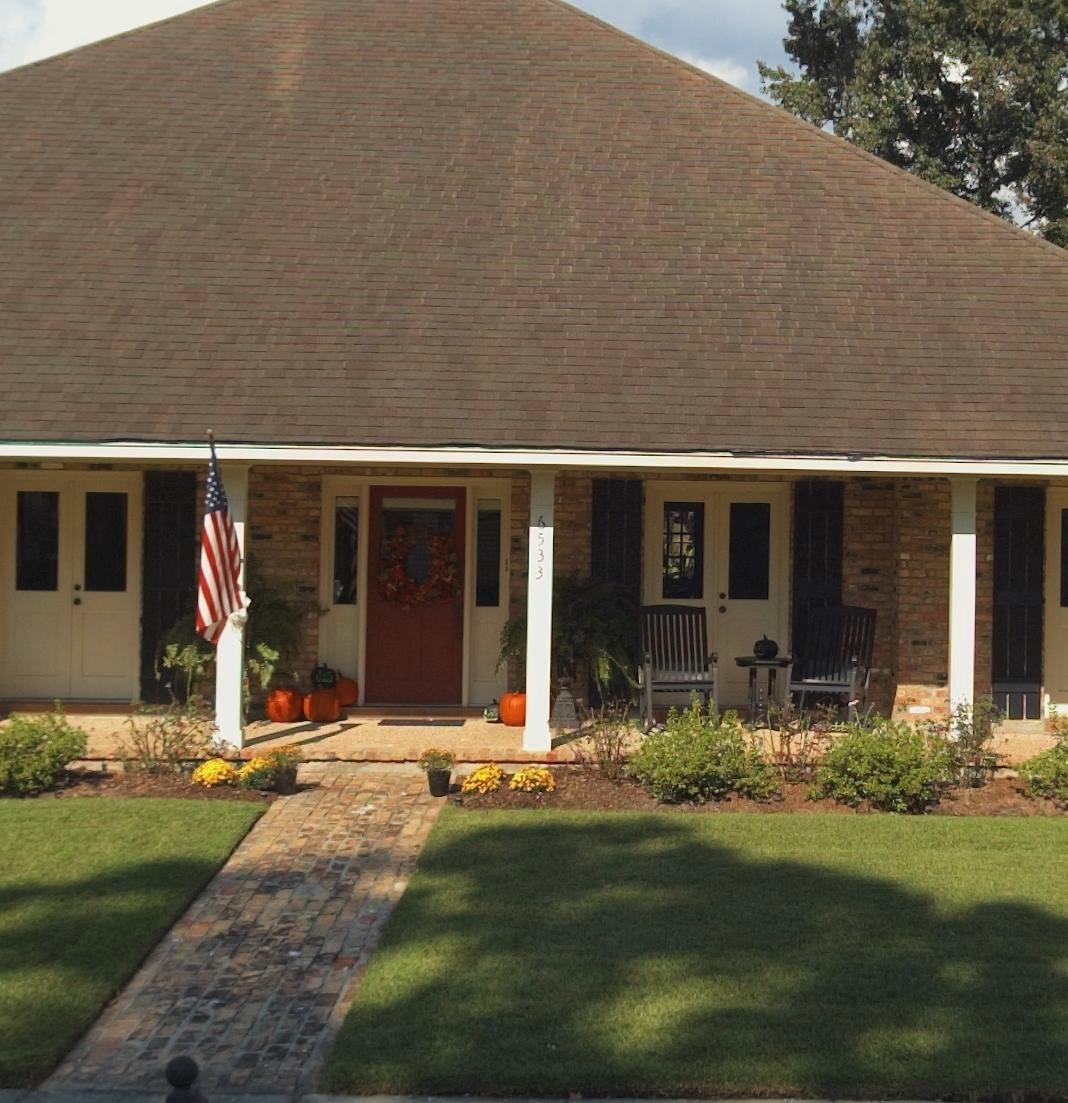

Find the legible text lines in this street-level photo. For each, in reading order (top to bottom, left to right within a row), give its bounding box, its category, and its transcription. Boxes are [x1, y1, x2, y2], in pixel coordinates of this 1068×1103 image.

[536, 513, 547, 581] StreetNumber: 6533